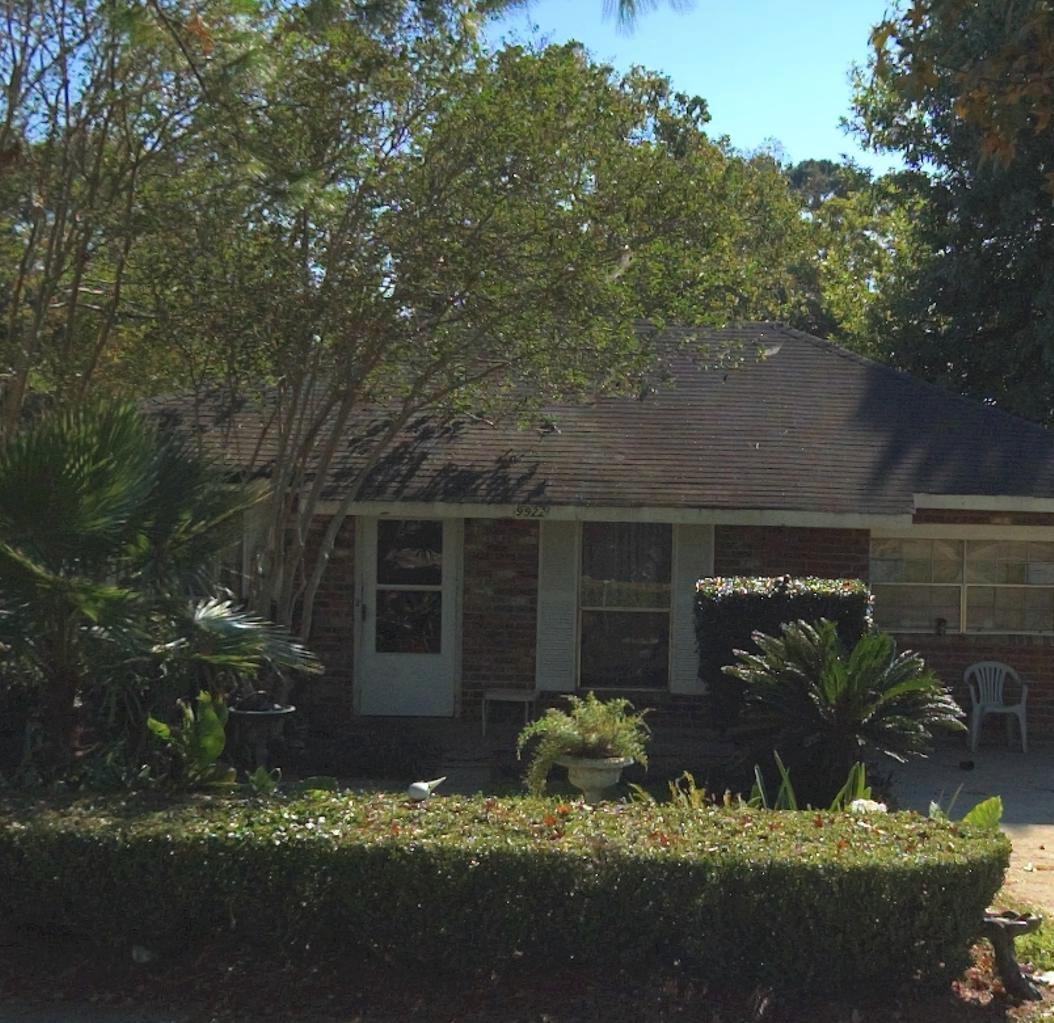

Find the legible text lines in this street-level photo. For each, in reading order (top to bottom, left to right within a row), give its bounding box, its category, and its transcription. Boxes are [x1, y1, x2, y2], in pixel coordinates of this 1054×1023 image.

[515, 506, 546, 517] StreetNumber: 9922